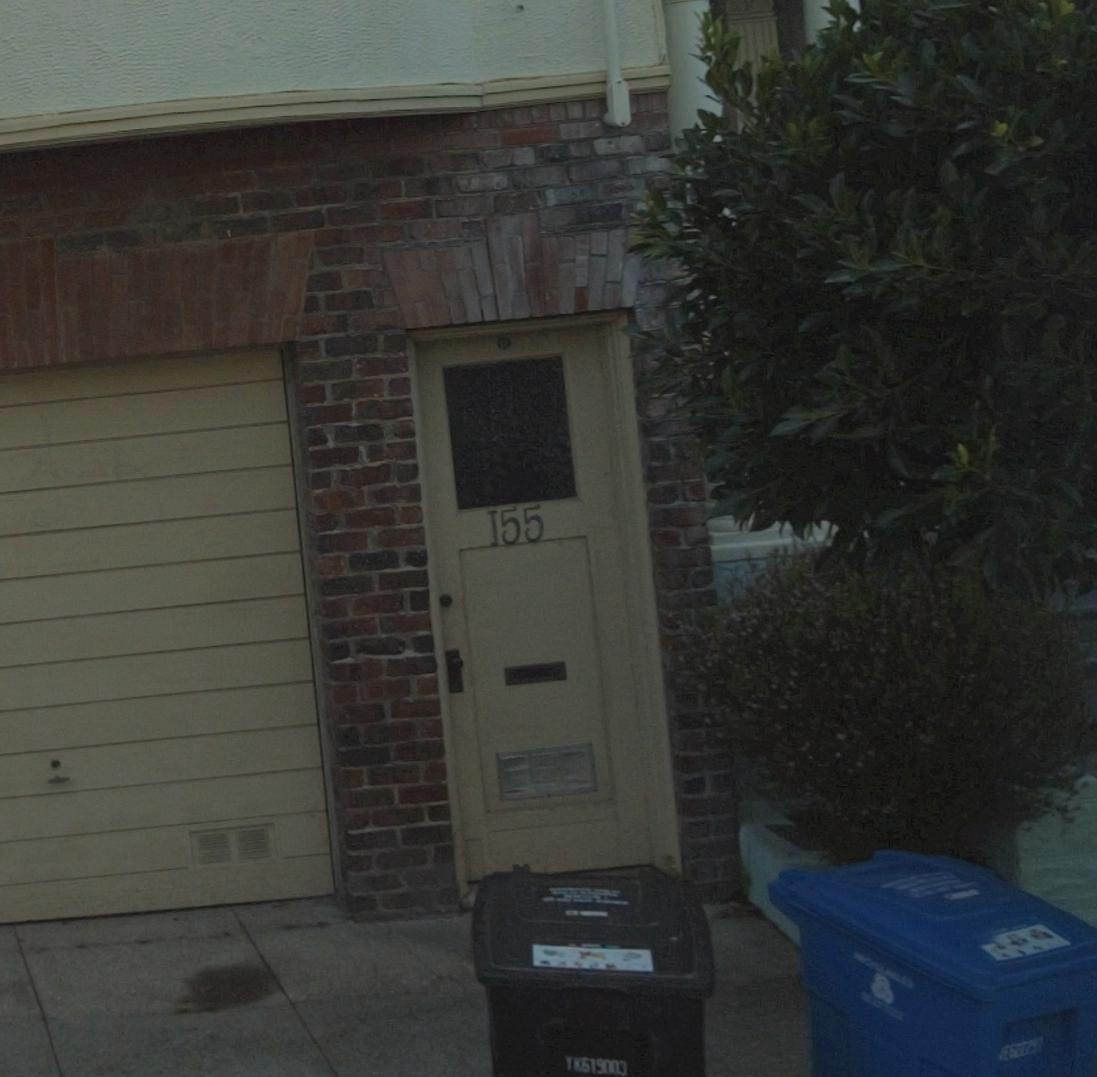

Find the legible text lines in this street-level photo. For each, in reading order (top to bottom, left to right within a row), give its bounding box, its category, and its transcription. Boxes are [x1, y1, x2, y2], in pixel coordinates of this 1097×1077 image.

[484, 502, 548, 548] StreetNumber: 155
[563, 1053, 630, 1076] None: YK619003